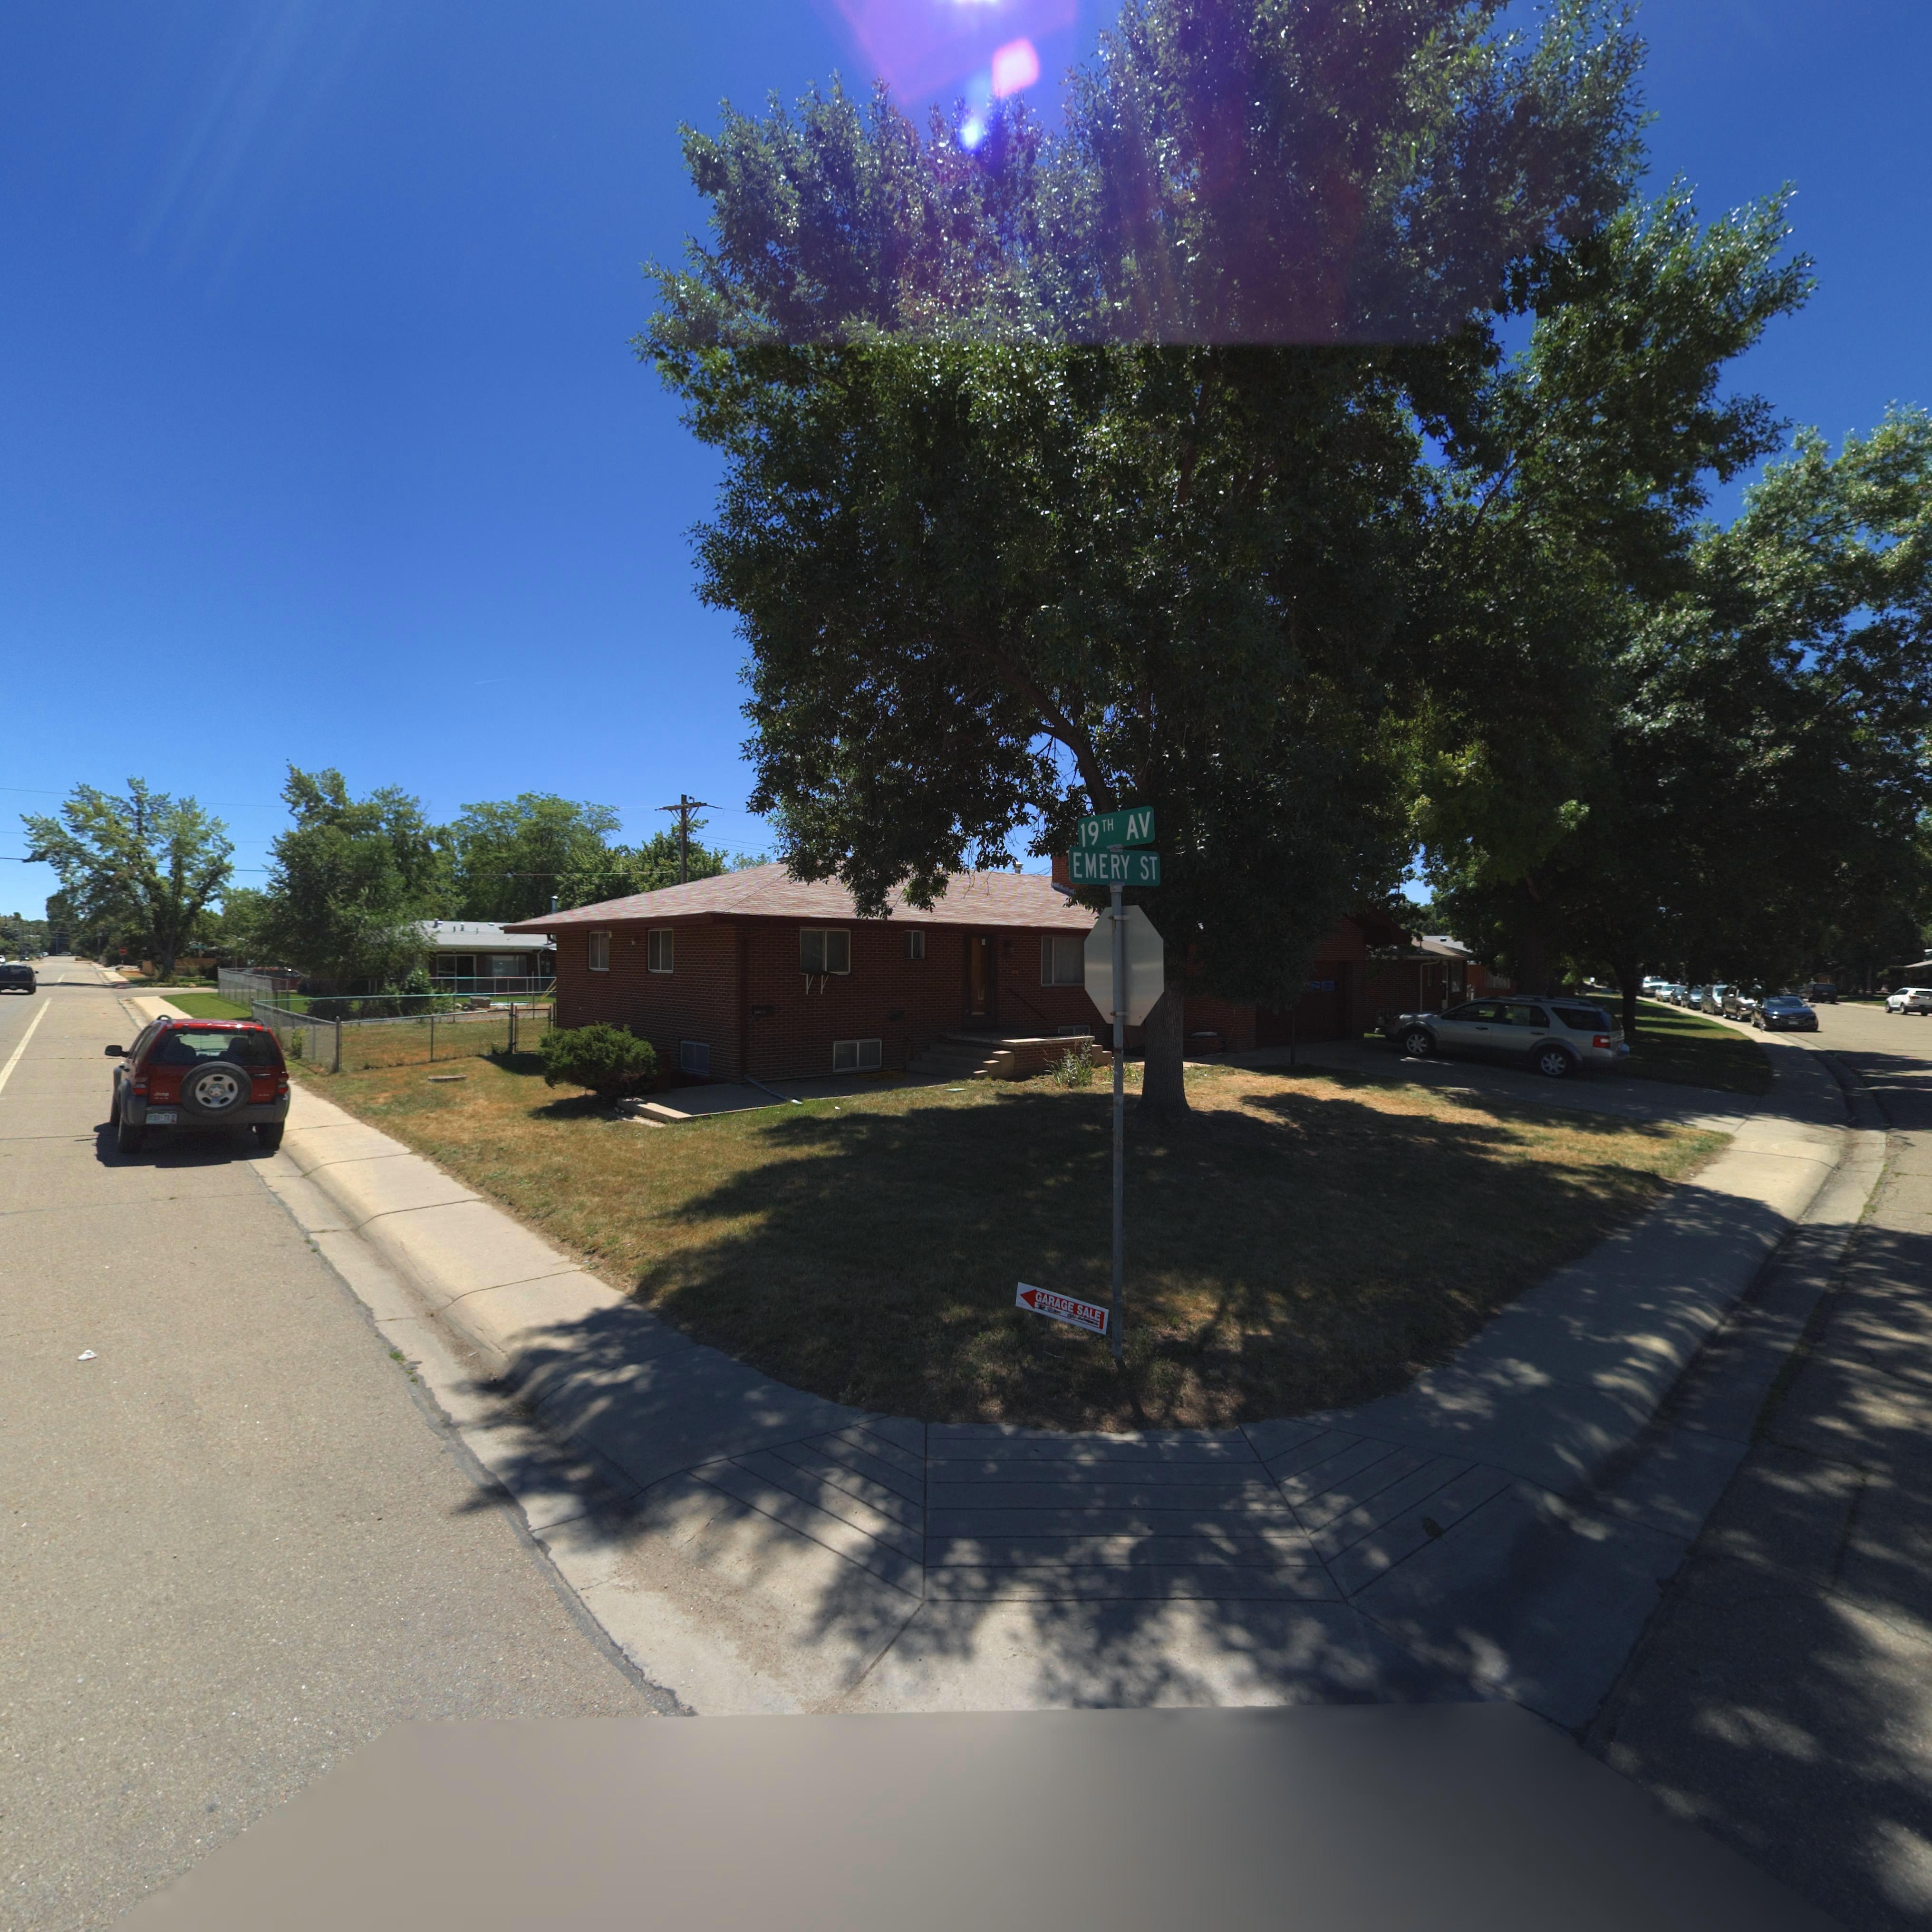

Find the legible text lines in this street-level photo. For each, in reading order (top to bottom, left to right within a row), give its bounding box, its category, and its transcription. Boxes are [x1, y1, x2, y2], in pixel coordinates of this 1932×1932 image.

[1079, 811, 1152, 849] StreetName: 19TH AV
[1072, 851, 1158, 880] StreetName: EMERY ST